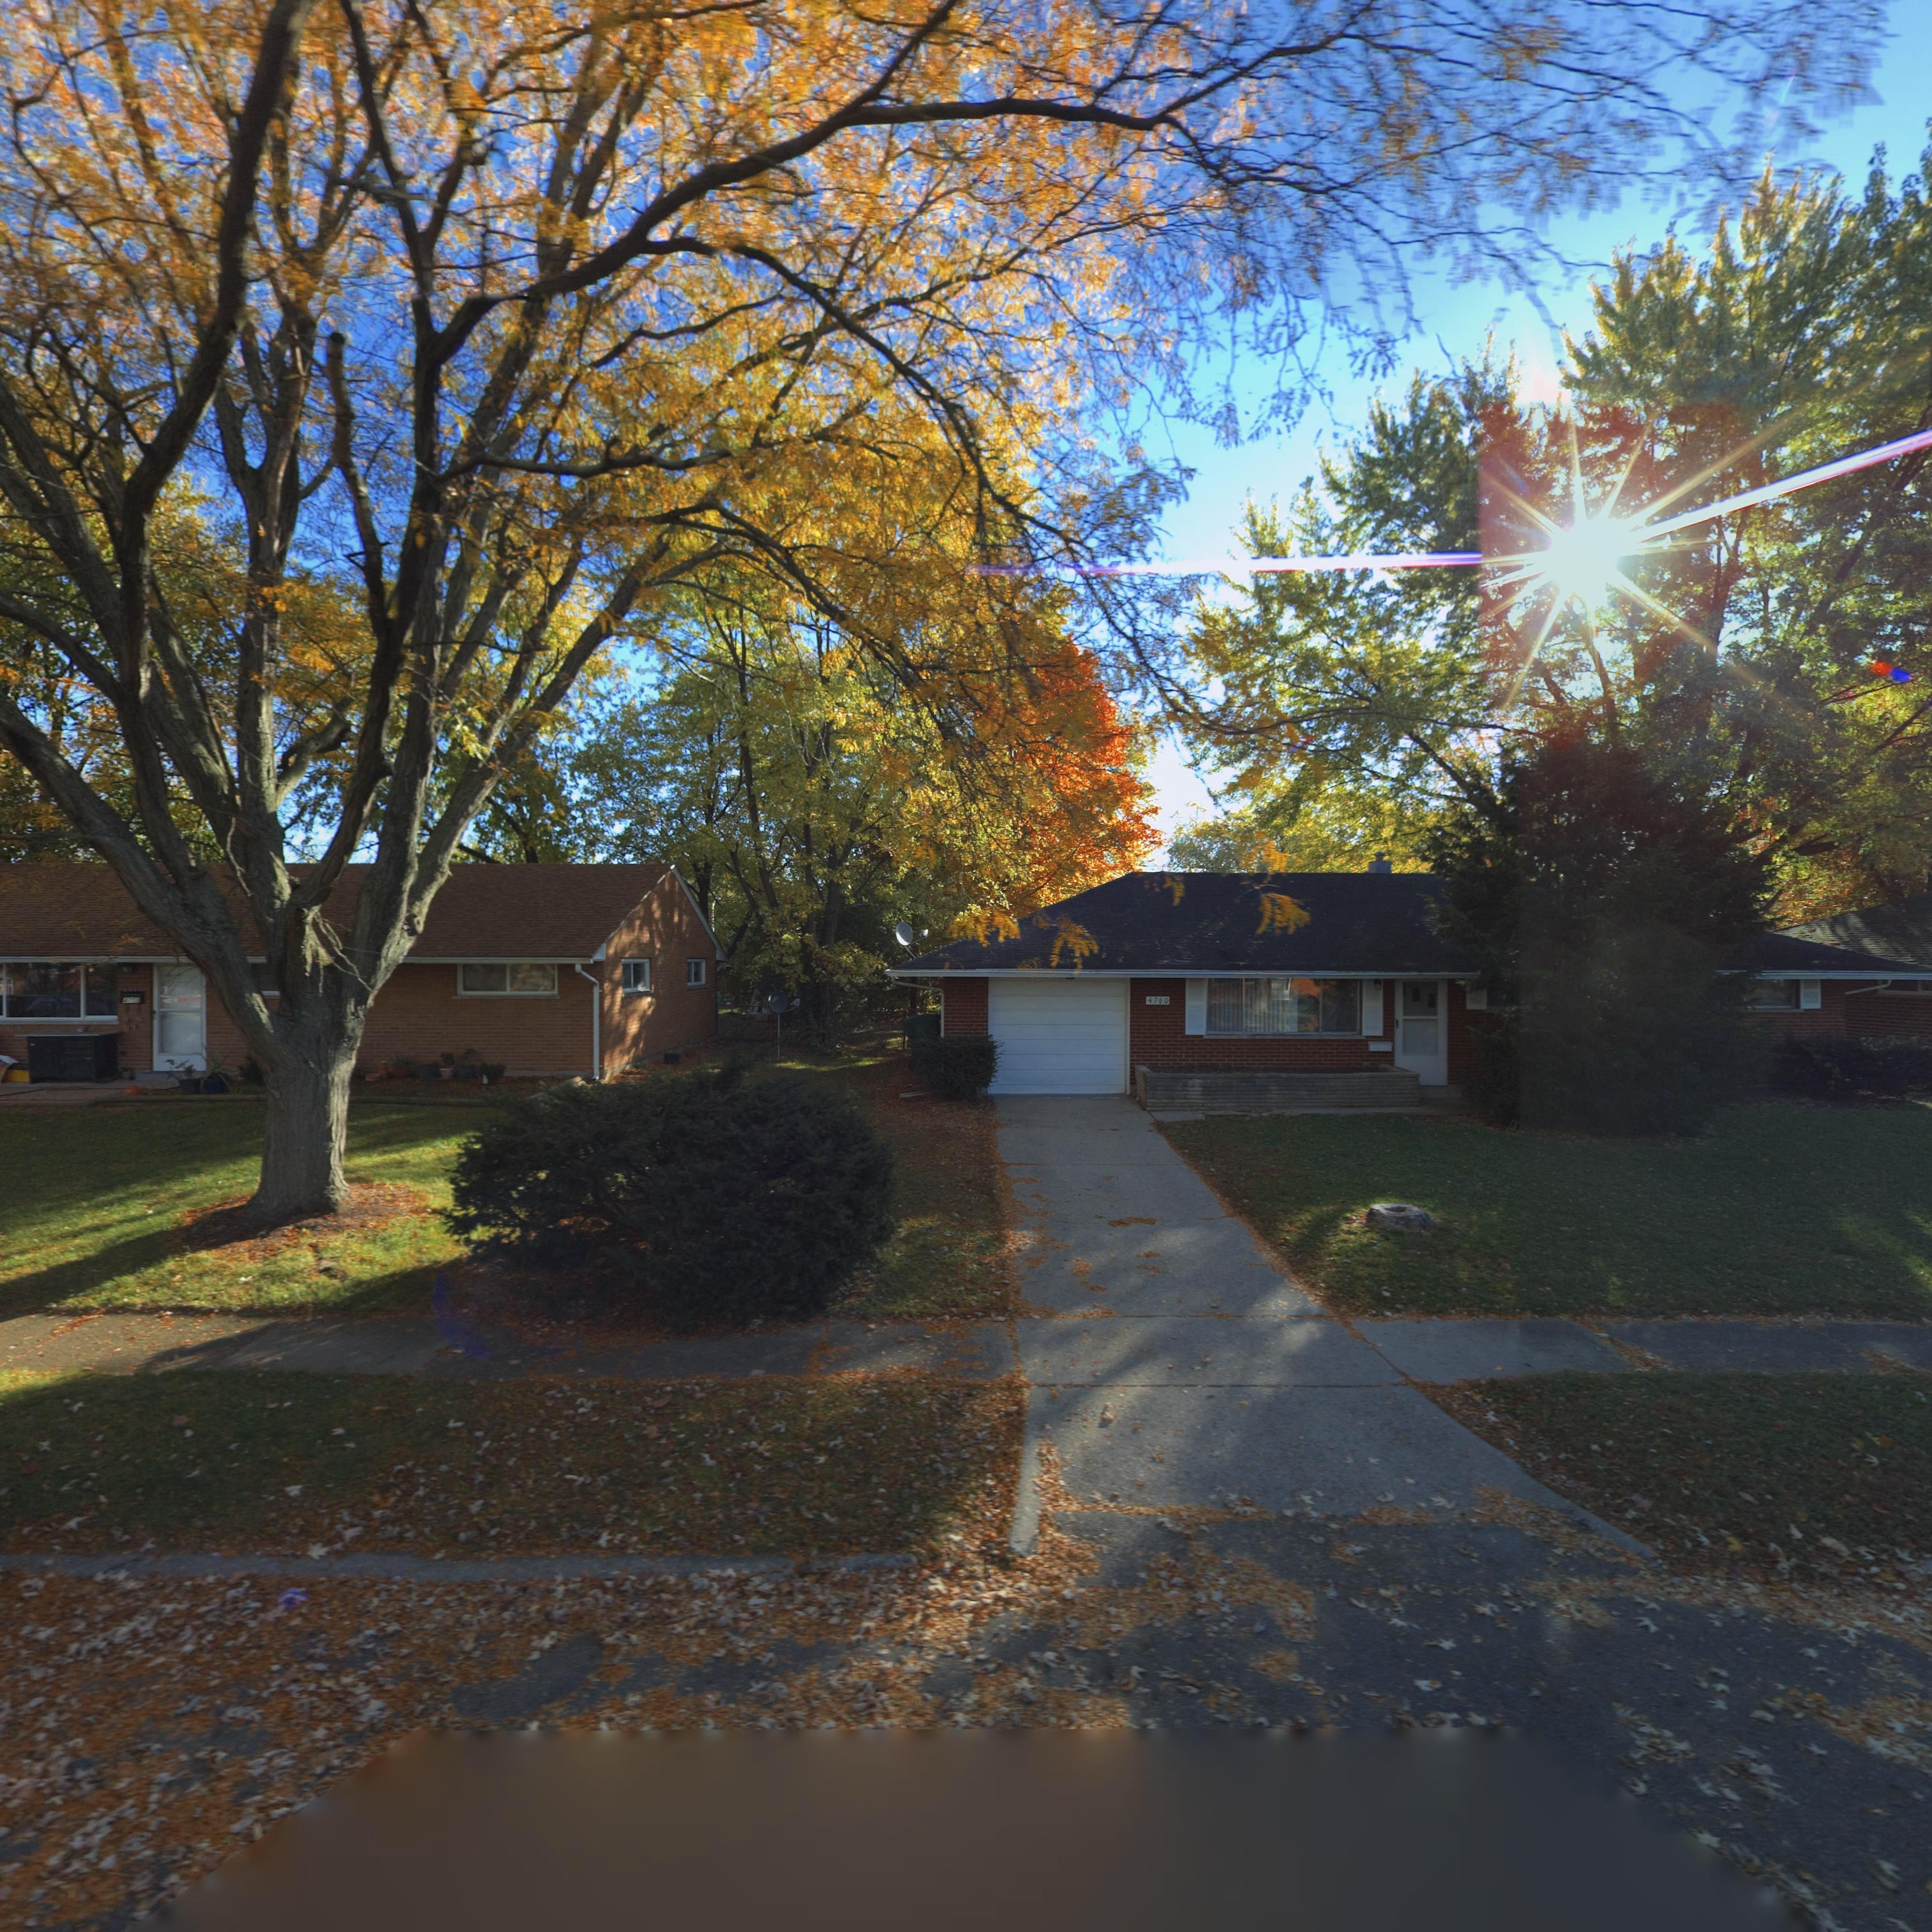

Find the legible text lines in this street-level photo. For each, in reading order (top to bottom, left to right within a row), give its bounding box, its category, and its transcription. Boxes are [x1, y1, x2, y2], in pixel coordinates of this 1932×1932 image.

[122, 997, 140, 1003] StreetNumber: 4750
[1147, 996, 1169, 1004] StreetNumber: 4760